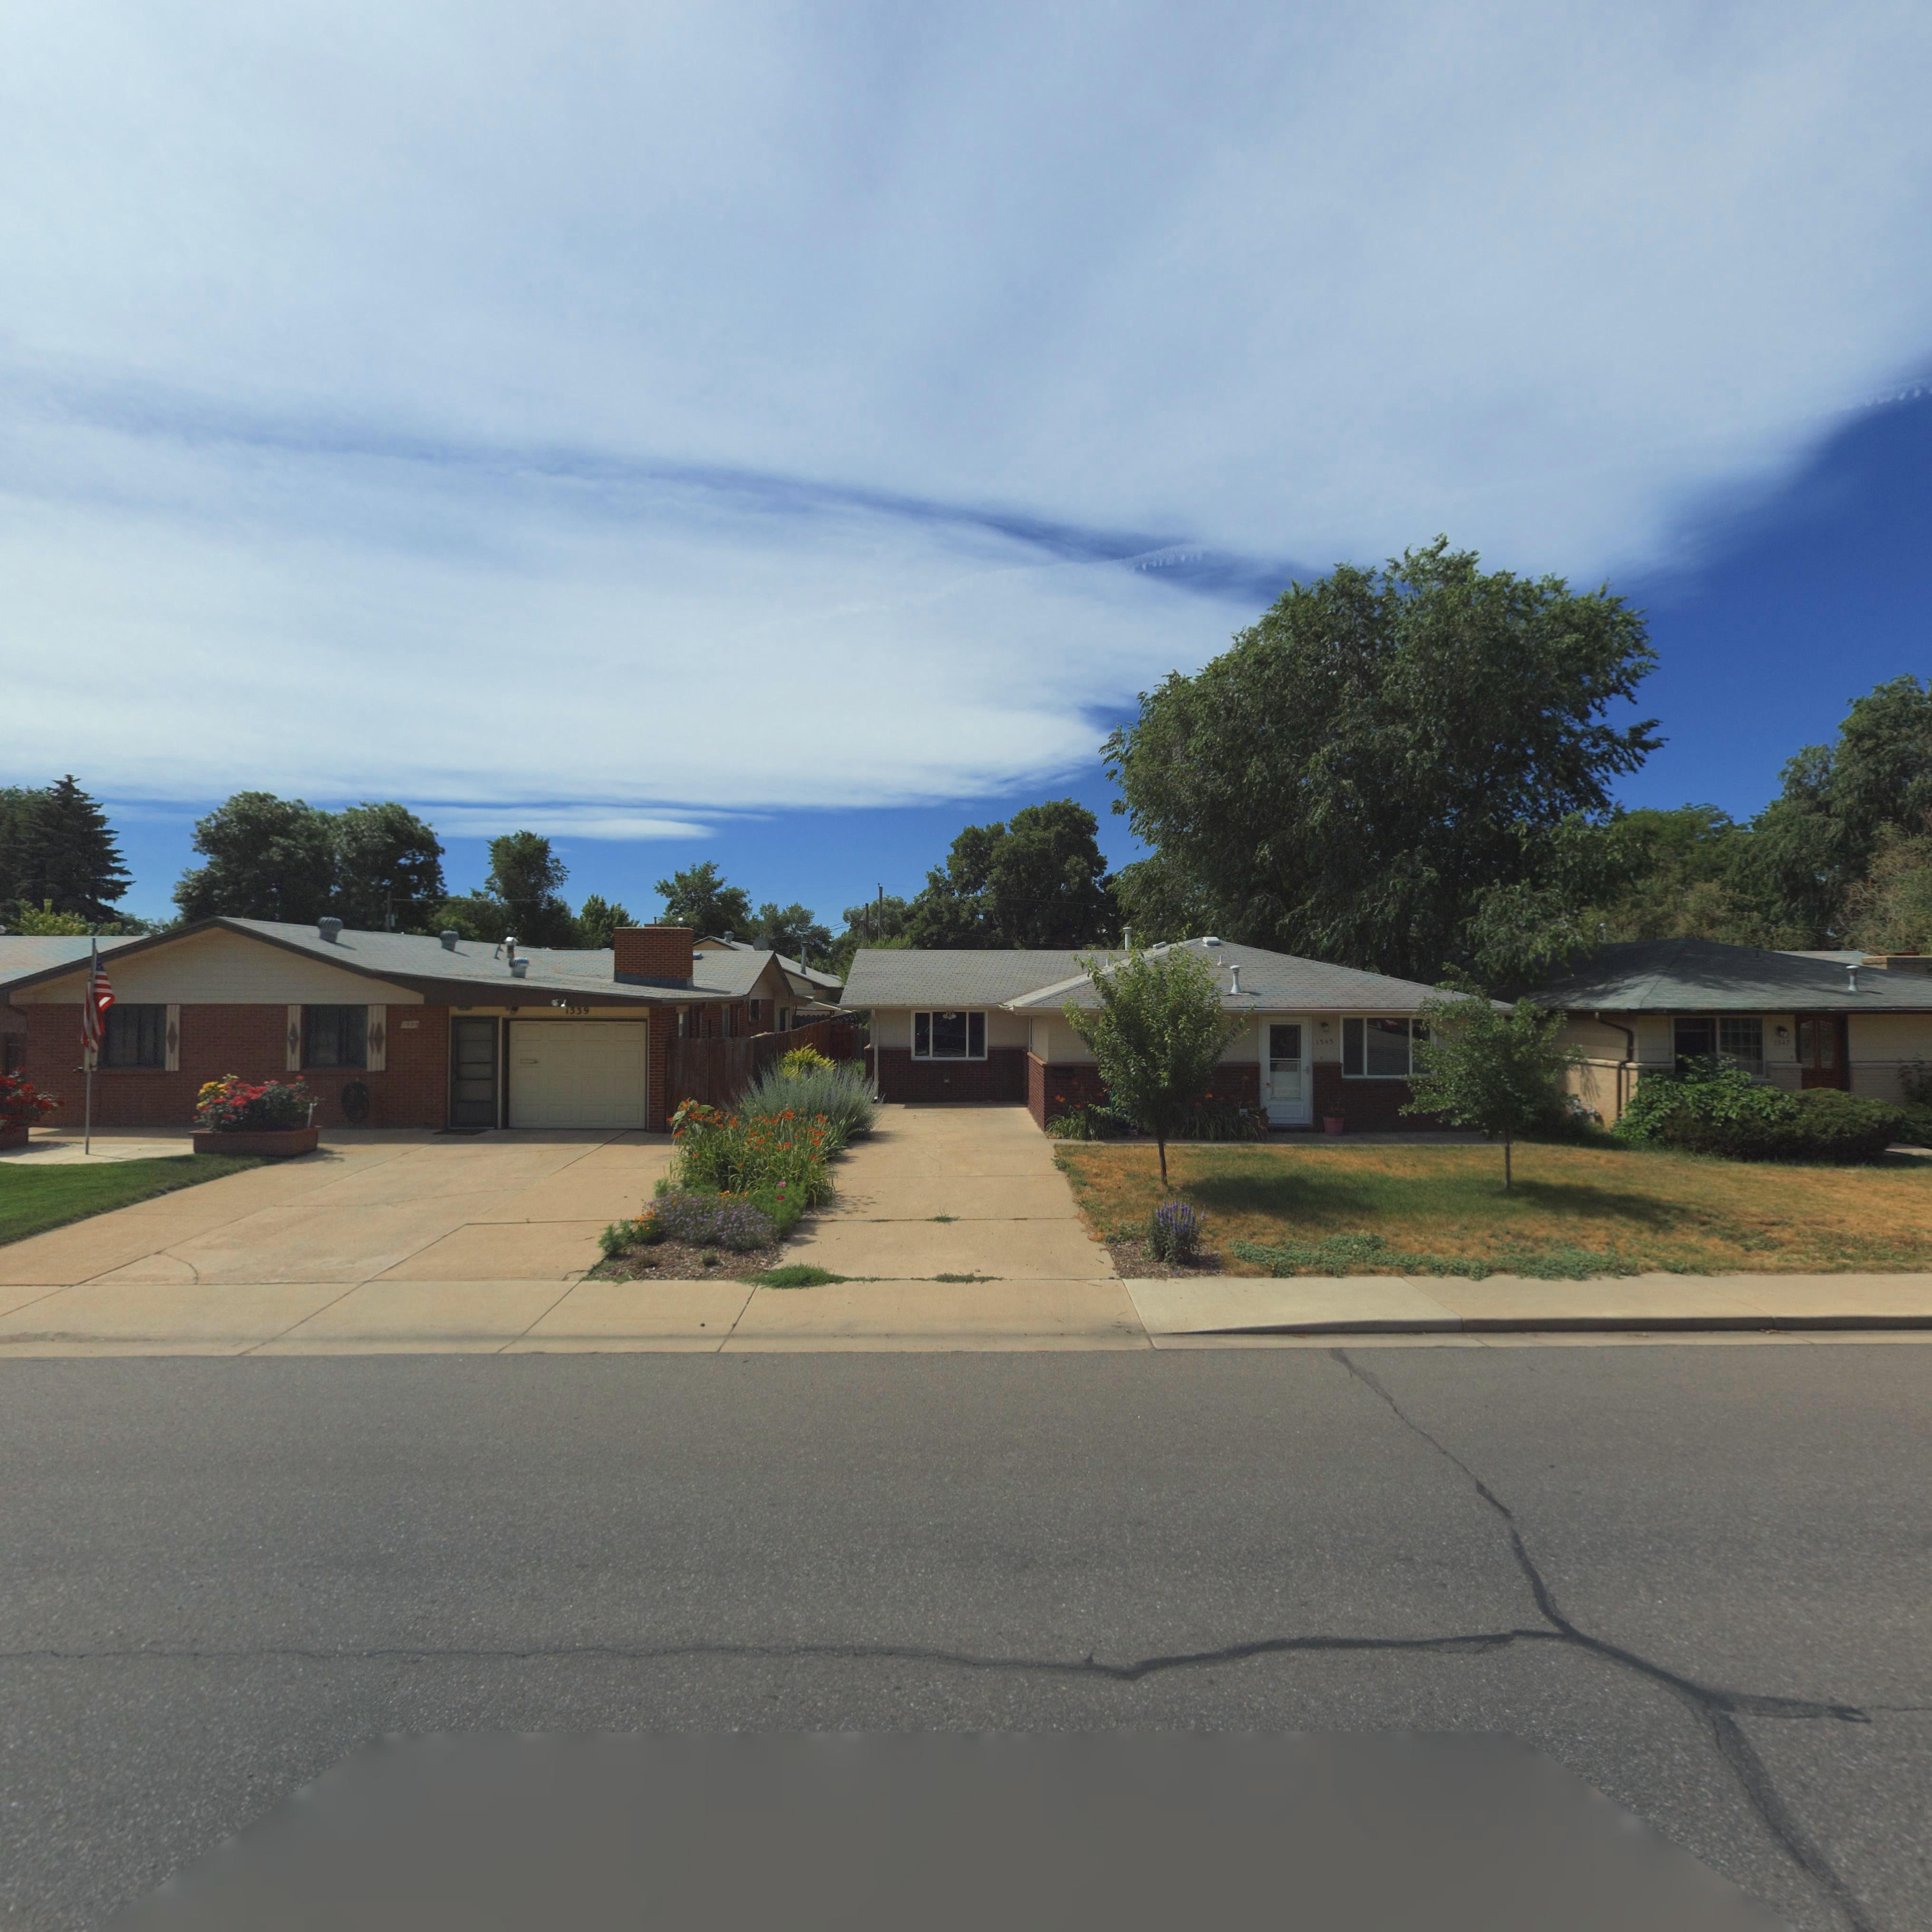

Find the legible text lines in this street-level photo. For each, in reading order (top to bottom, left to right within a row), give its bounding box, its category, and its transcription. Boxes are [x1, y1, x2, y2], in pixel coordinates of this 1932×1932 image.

[565, 1006, 589, 1014] StreetNumber: 1339
[402, 1021, 419, 1027] StreetNumber: 133*
[1316, 1037, 1333, 1045] StreetNumber: 1343
[1773, 1039, 1791, 1047] StreetNumber: 1347